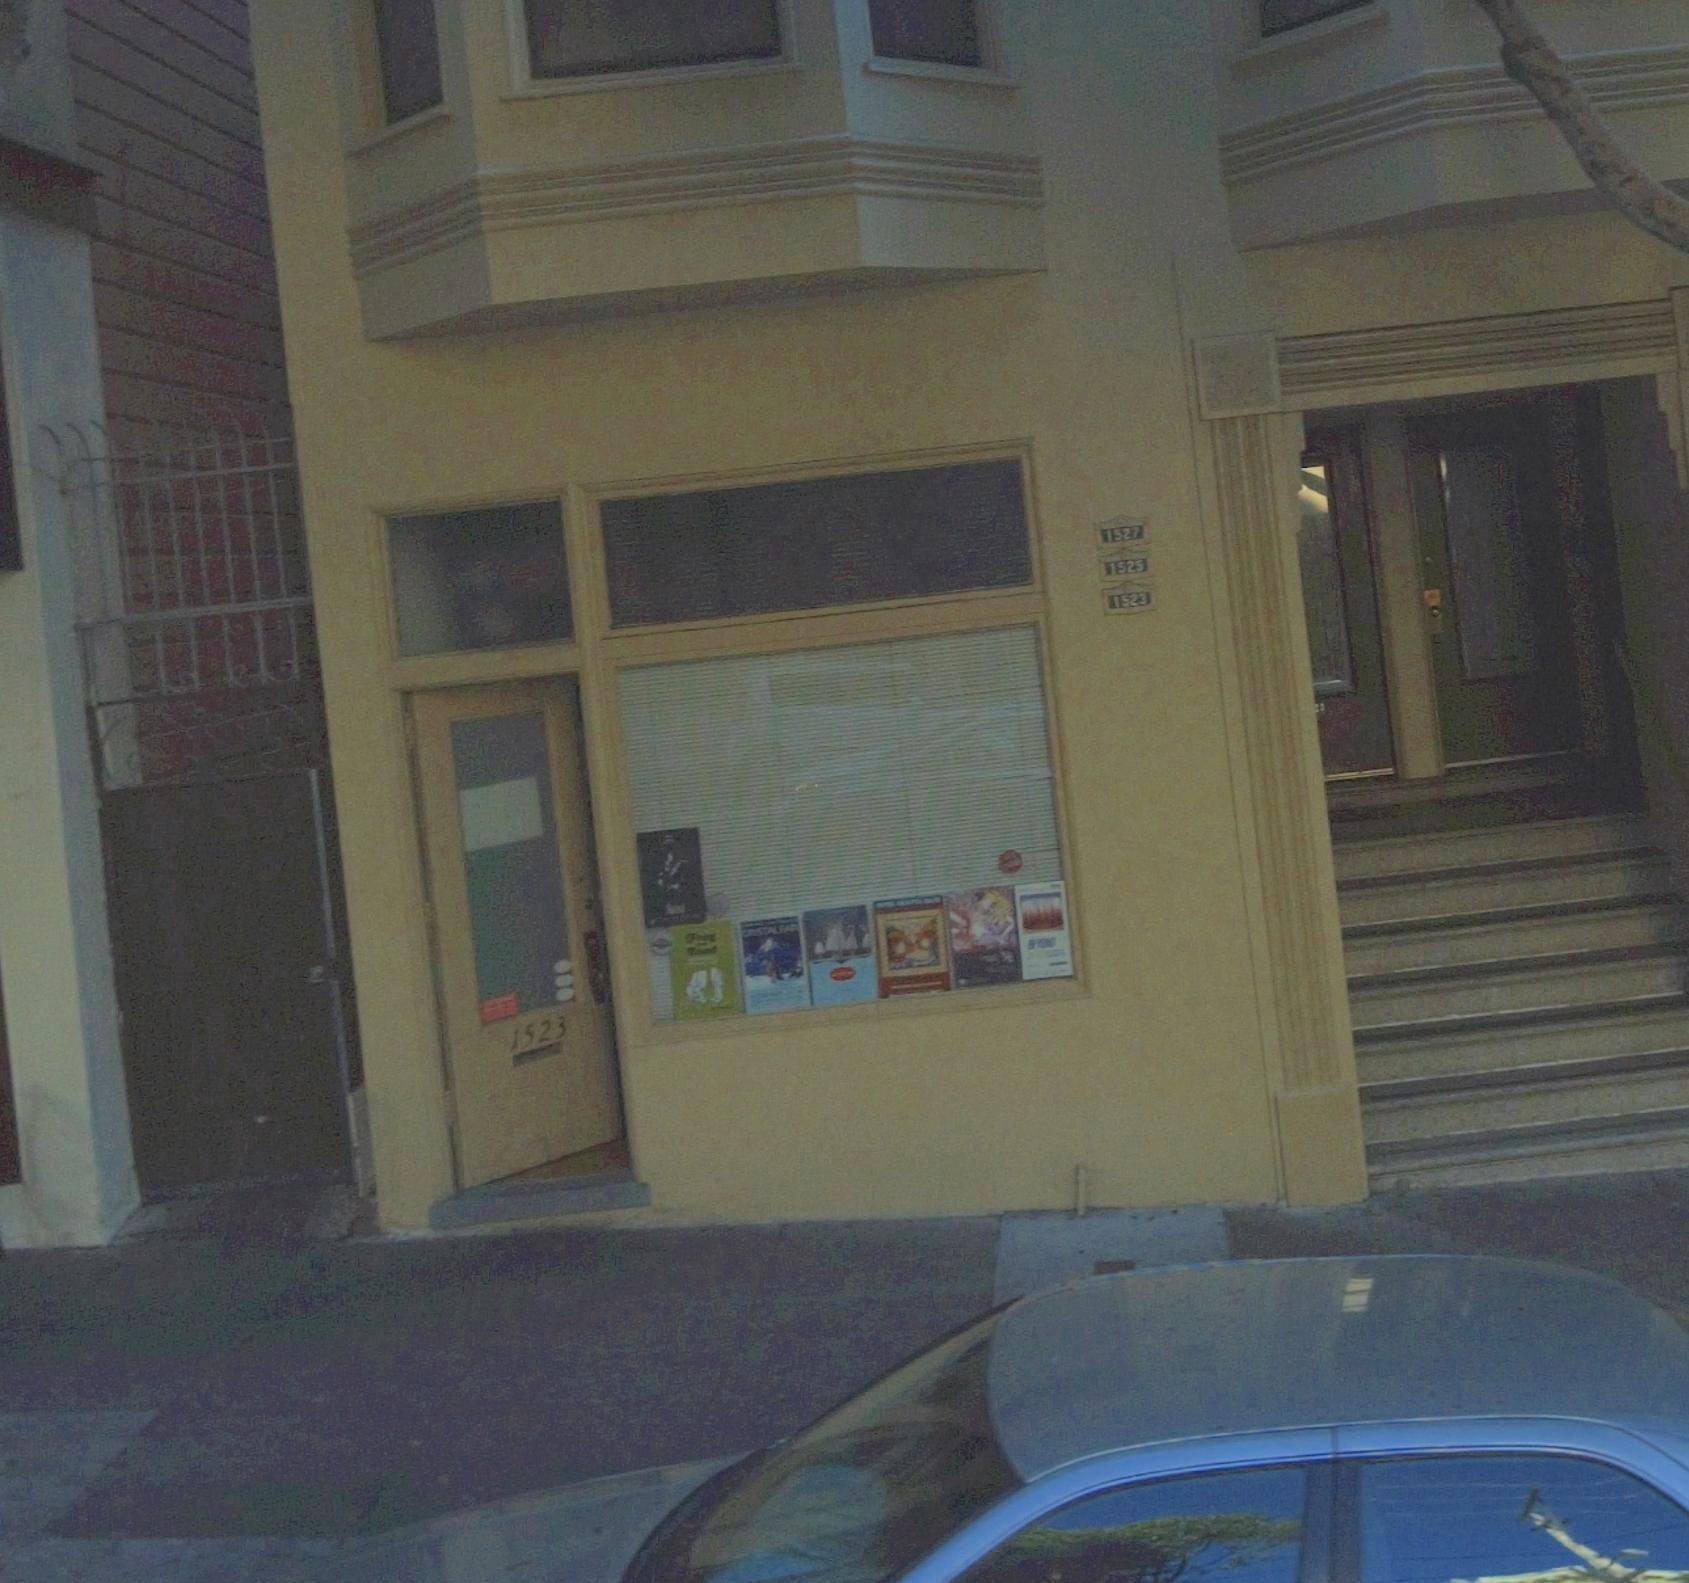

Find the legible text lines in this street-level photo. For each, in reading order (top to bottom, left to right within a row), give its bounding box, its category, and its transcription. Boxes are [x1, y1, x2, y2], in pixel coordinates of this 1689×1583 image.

[1104, 526, 1141, 543] StreetNumber: 1527
[1108, 559, 1145, 575] StreetNumber: 1525
[1112, 592, 1148, 609] StreetNumber: 1523
[509, 1012, 567, 1055] StreetNumber: 1523